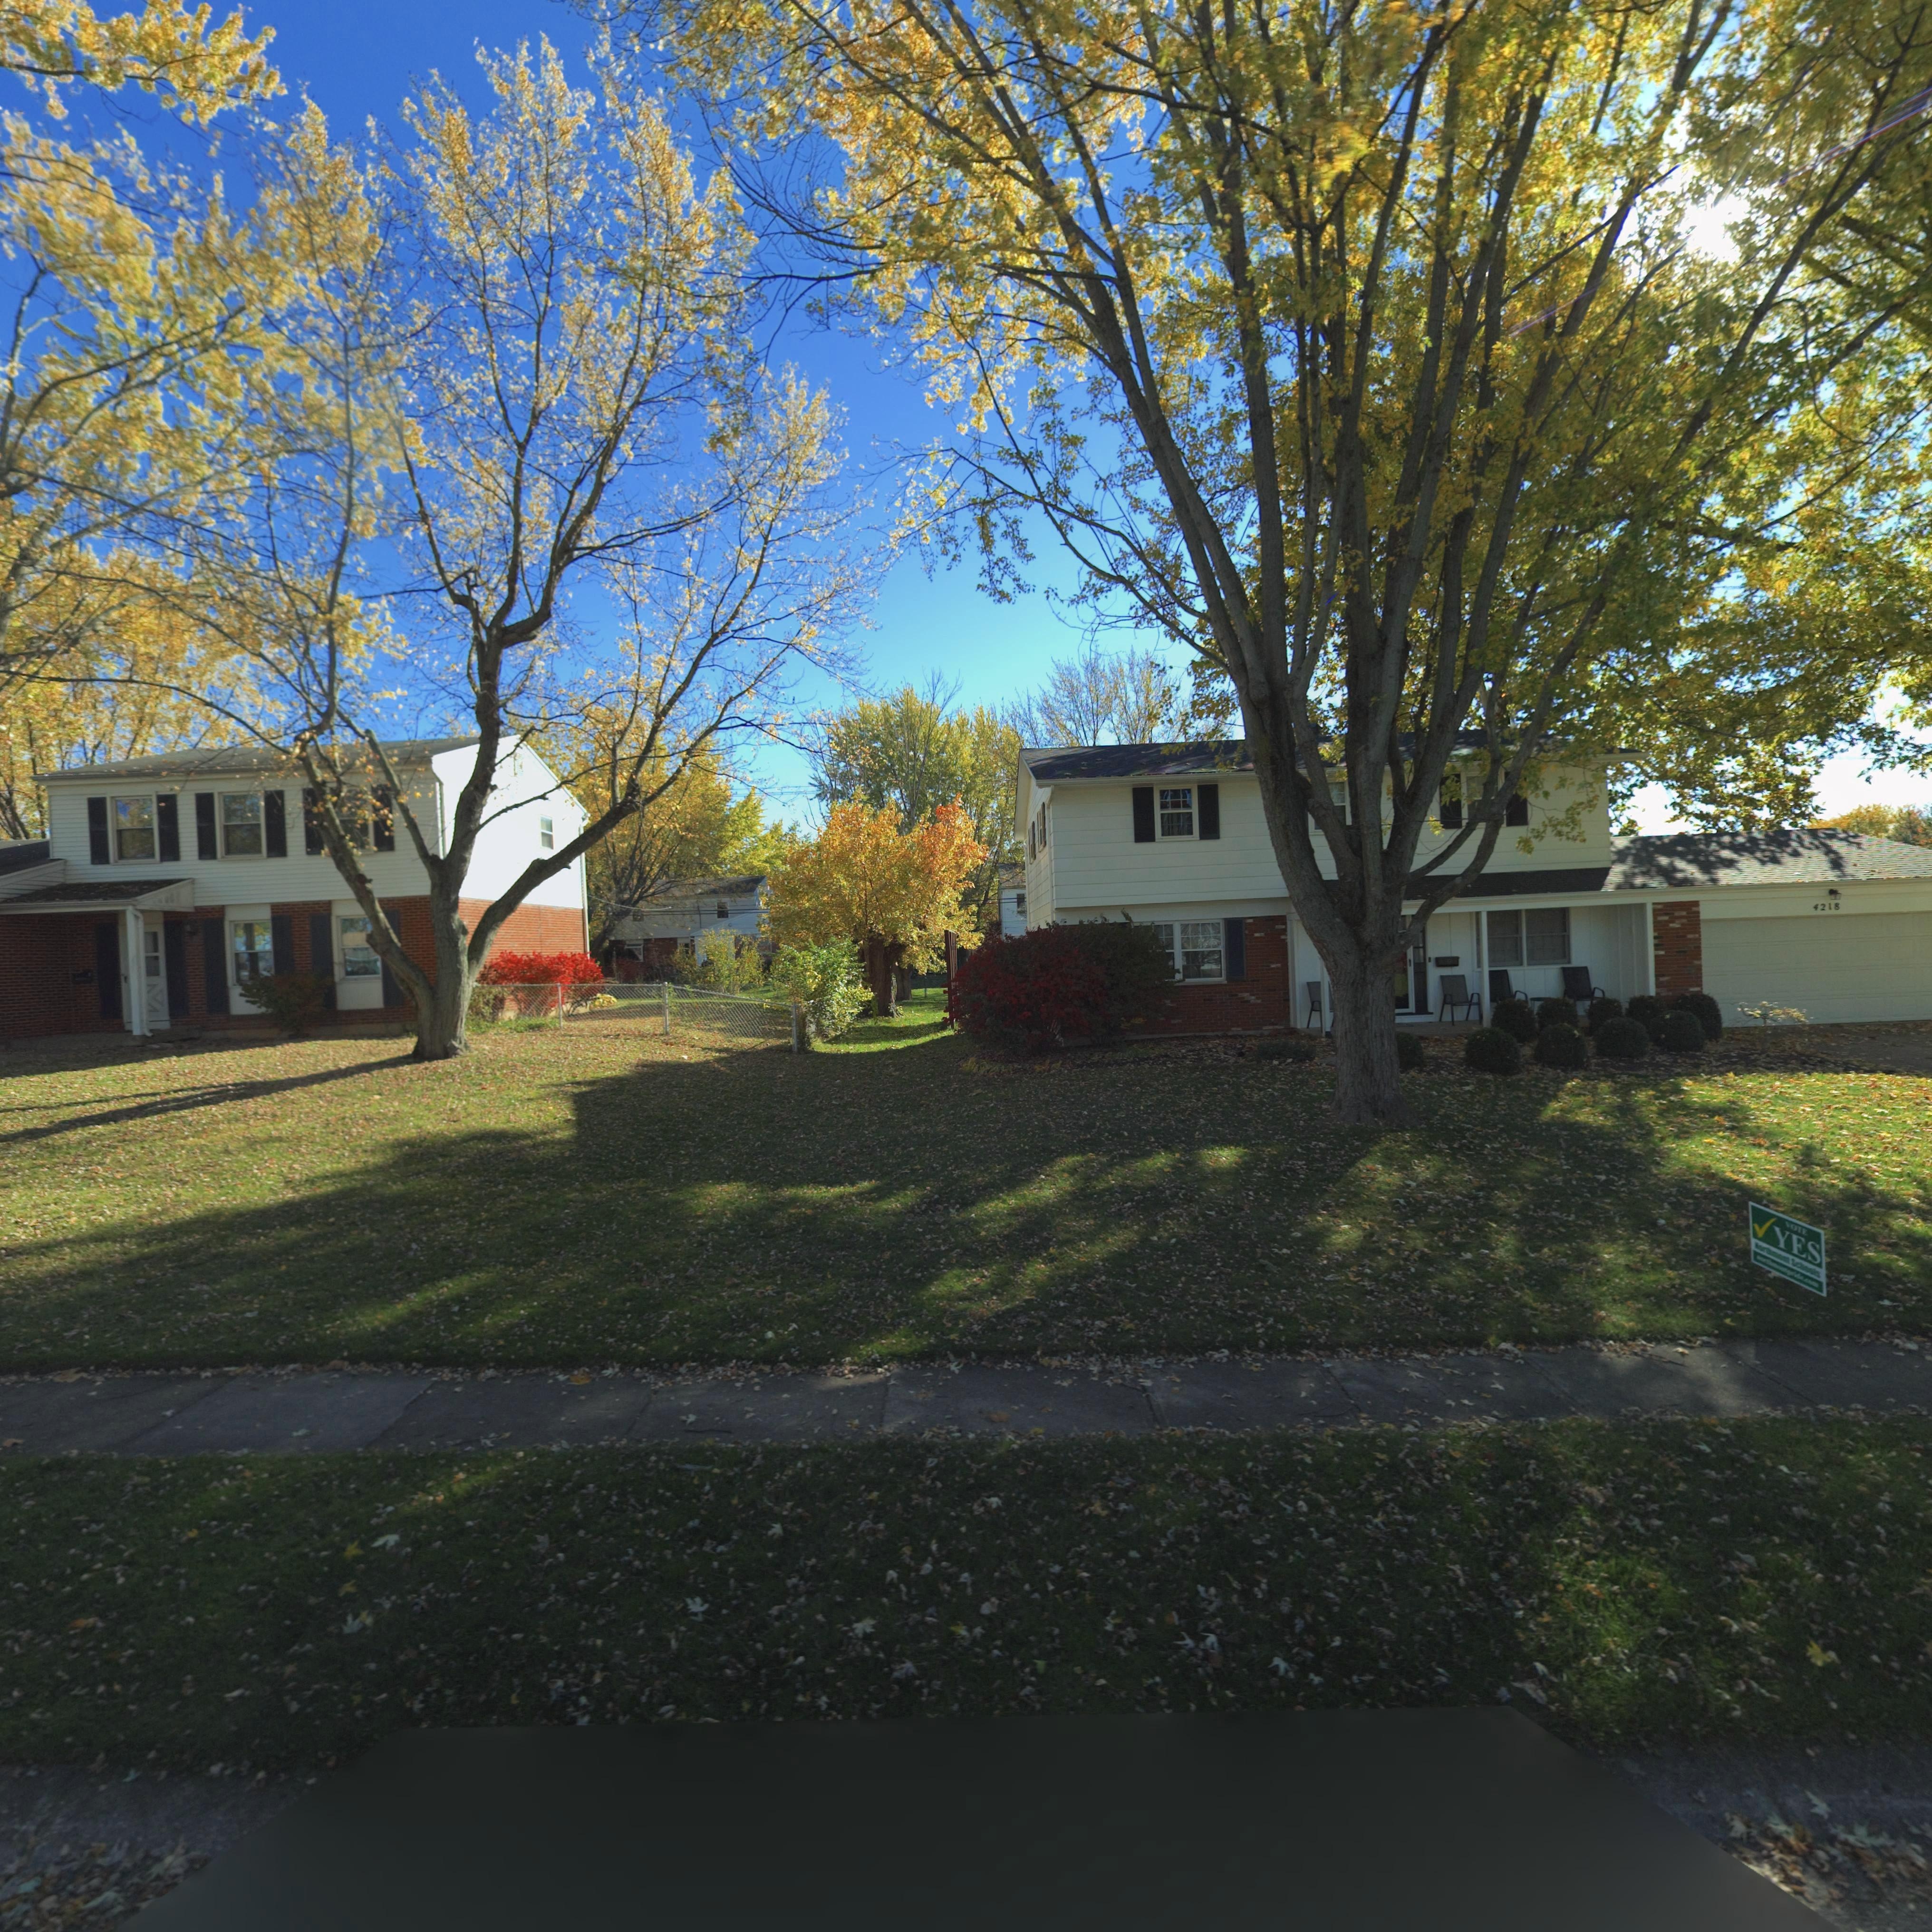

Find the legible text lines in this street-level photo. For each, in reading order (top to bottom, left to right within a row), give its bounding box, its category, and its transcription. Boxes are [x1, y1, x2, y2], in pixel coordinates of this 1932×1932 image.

[1811, 901, 1842, 912] StreetNumber: 4218
[1784, 1220, 1809, 1237] None: VOTE
[1772, 1224, 1821, 1266] None: YES
[1790, 1257, 1821, 1280] None: Schools